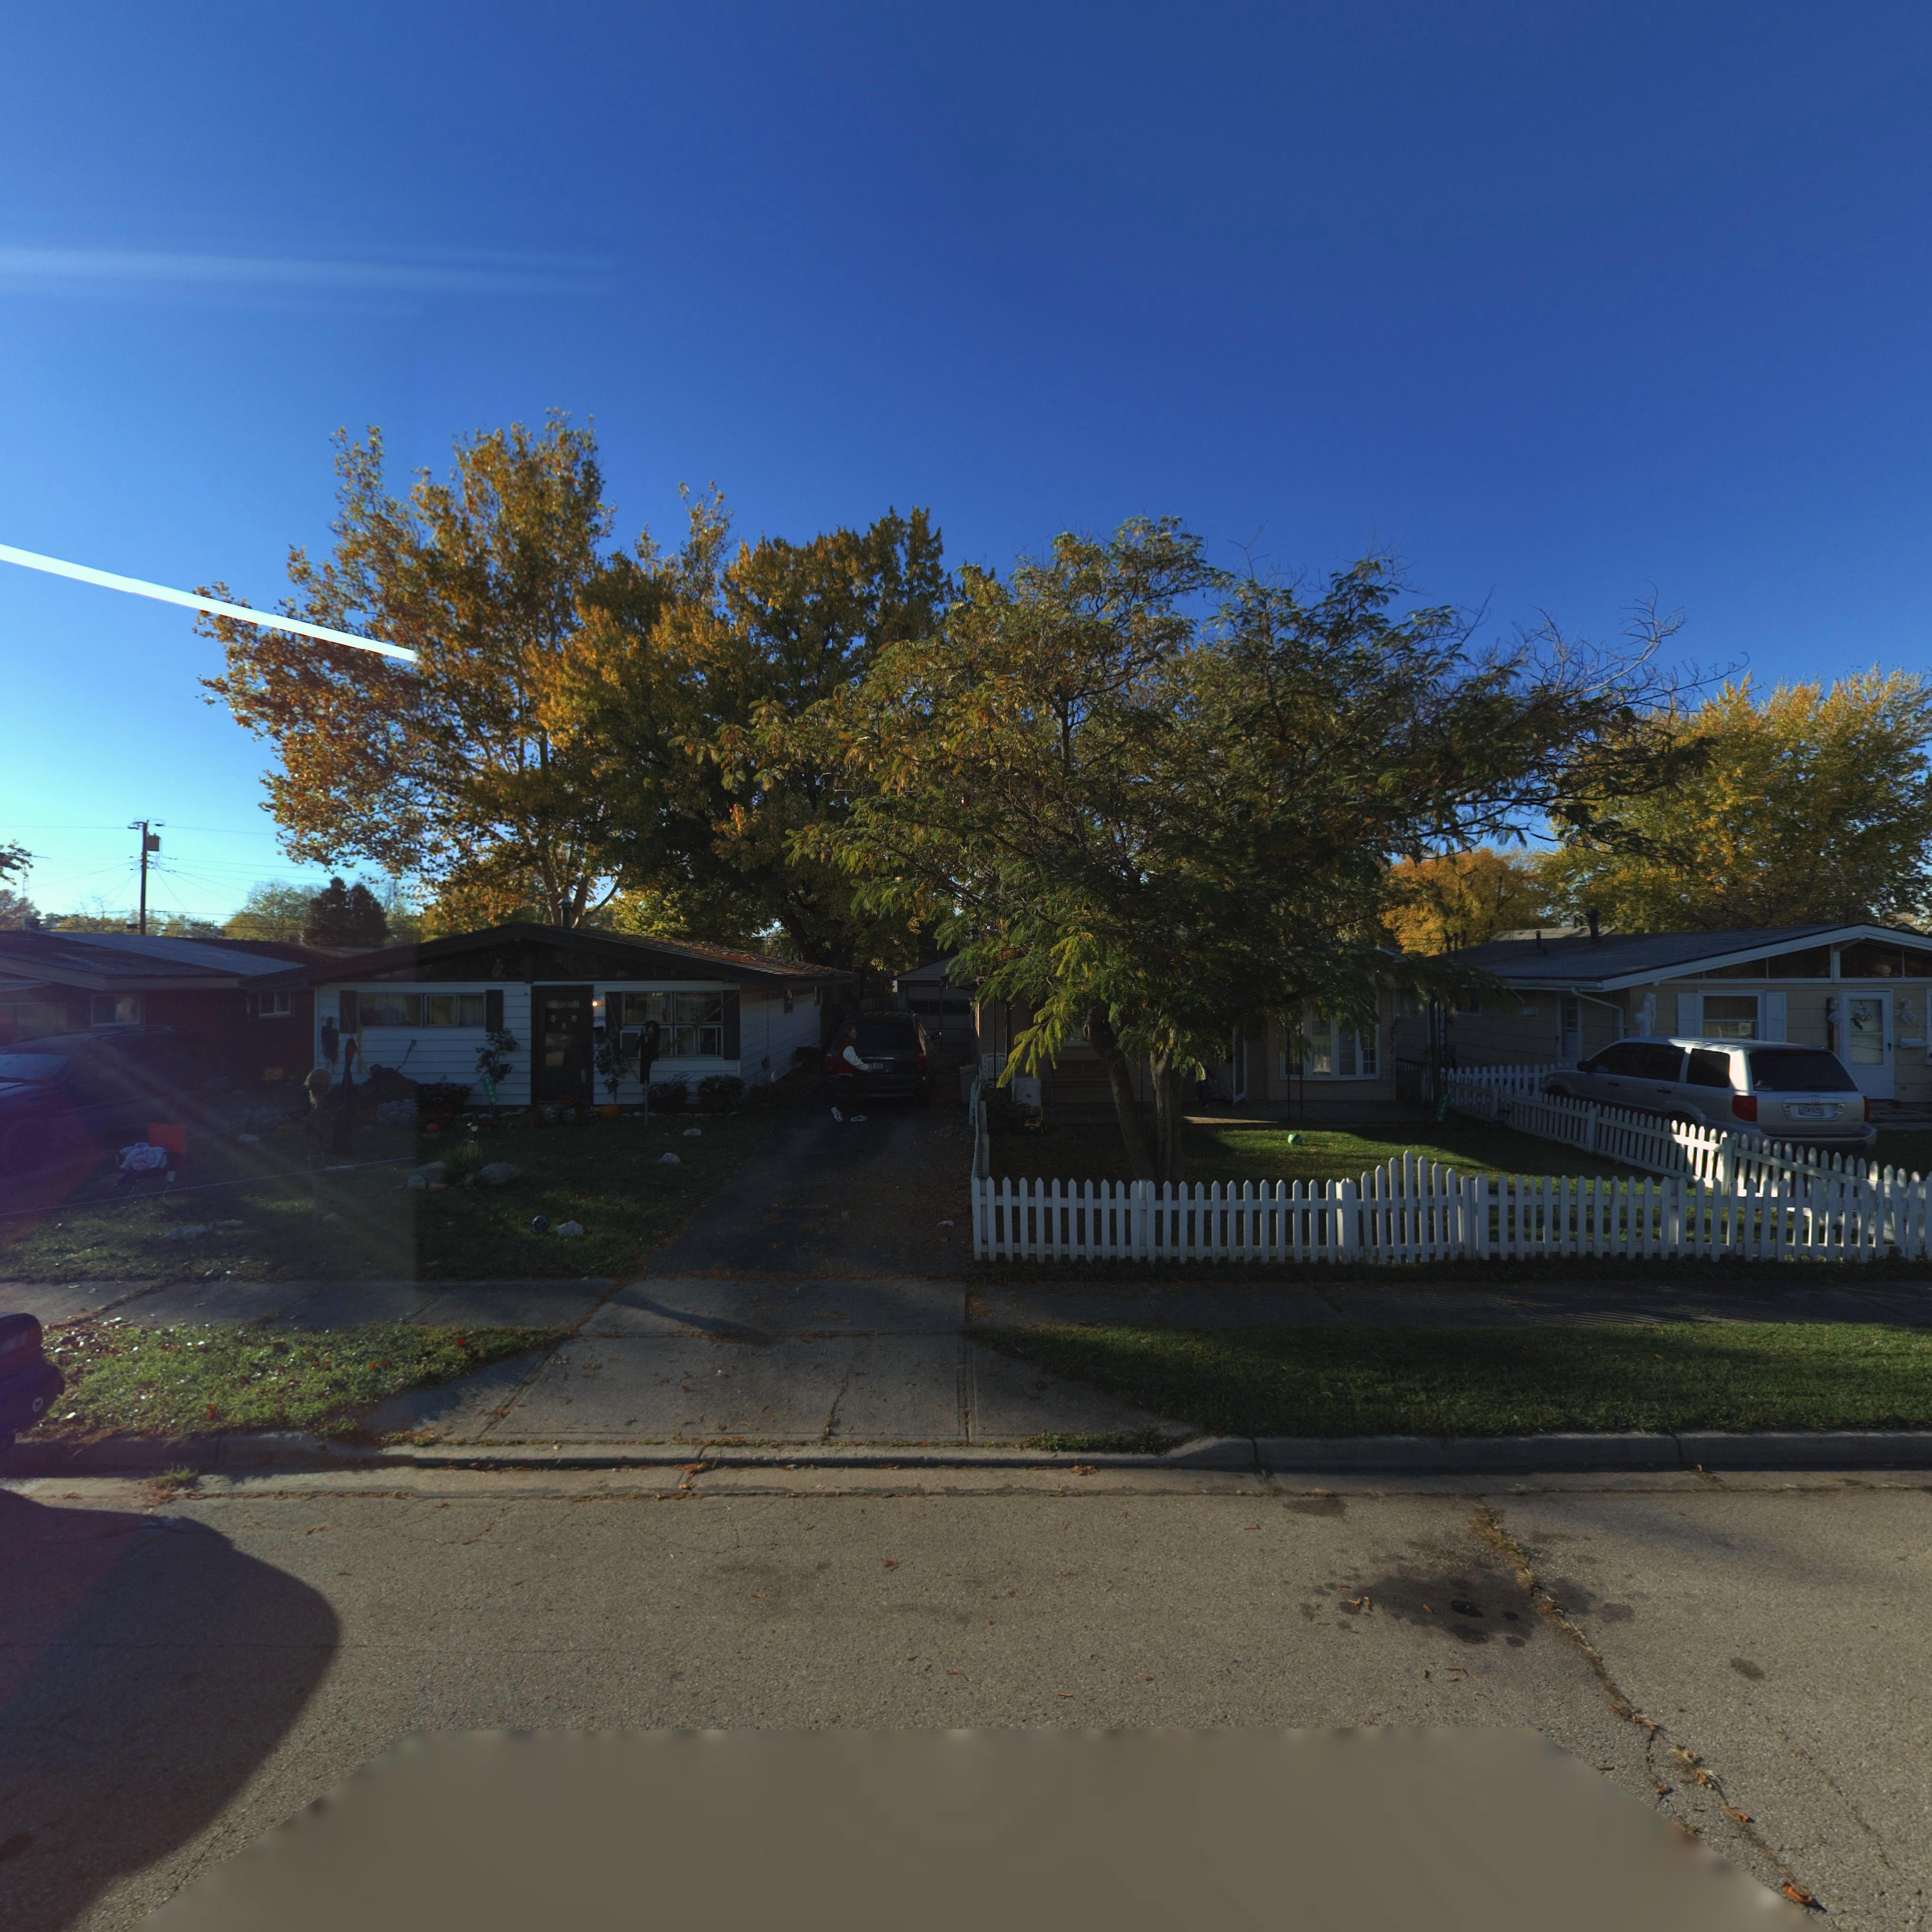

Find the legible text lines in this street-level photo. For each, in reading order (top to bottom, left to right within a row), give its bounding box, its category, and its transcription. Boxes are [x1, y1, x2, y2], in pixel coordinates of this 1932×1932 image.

[592, 1015, 606, 1022] StreetNumber: 2*9*
[1893, 1004, 1926, 1034] StreetNumber: 2**2
[1436, 1093, 1450, 1123] StreetNumber: 2*96